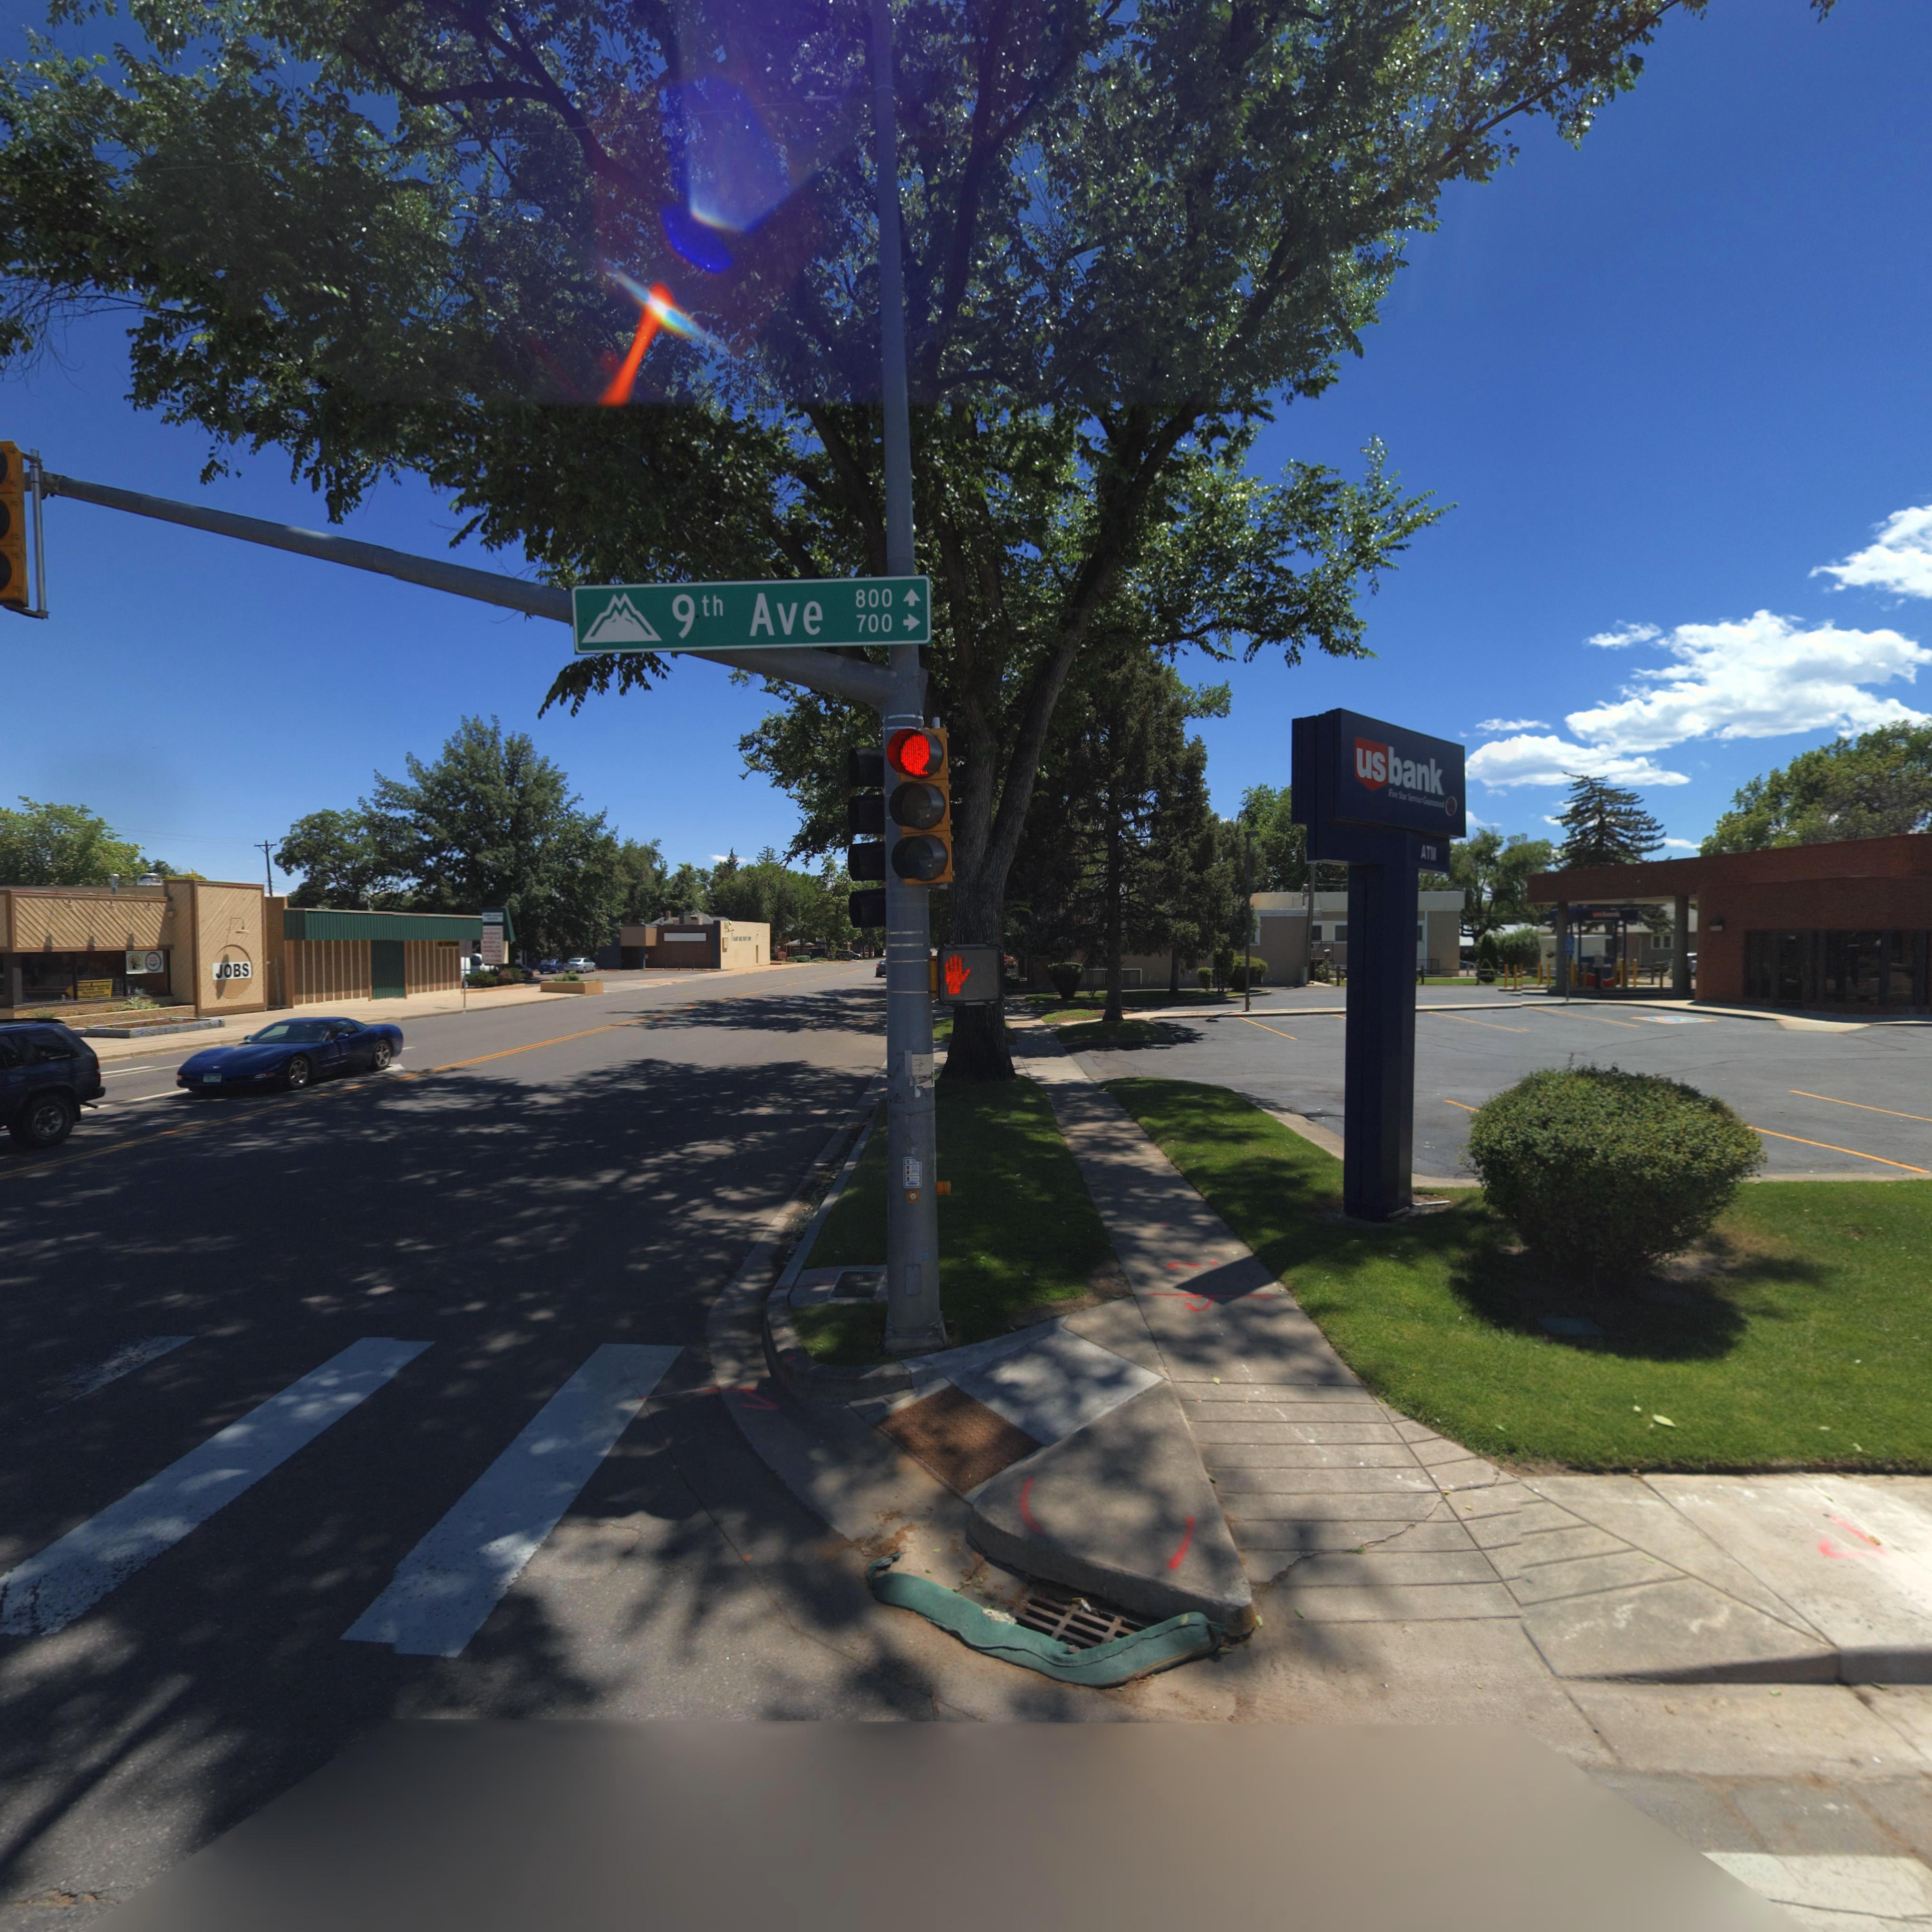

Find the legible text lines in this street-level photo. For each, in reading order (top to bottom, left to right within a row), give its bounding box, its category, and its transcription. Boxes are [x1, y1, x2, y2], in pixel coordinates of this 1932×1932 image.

[855, 588, 893, 608] StreetNumberRange: 800
[670, 591, 824, 640] StreetName: 9th Ave
[855, 613, 922, 633] StreetNumberRange: 700->